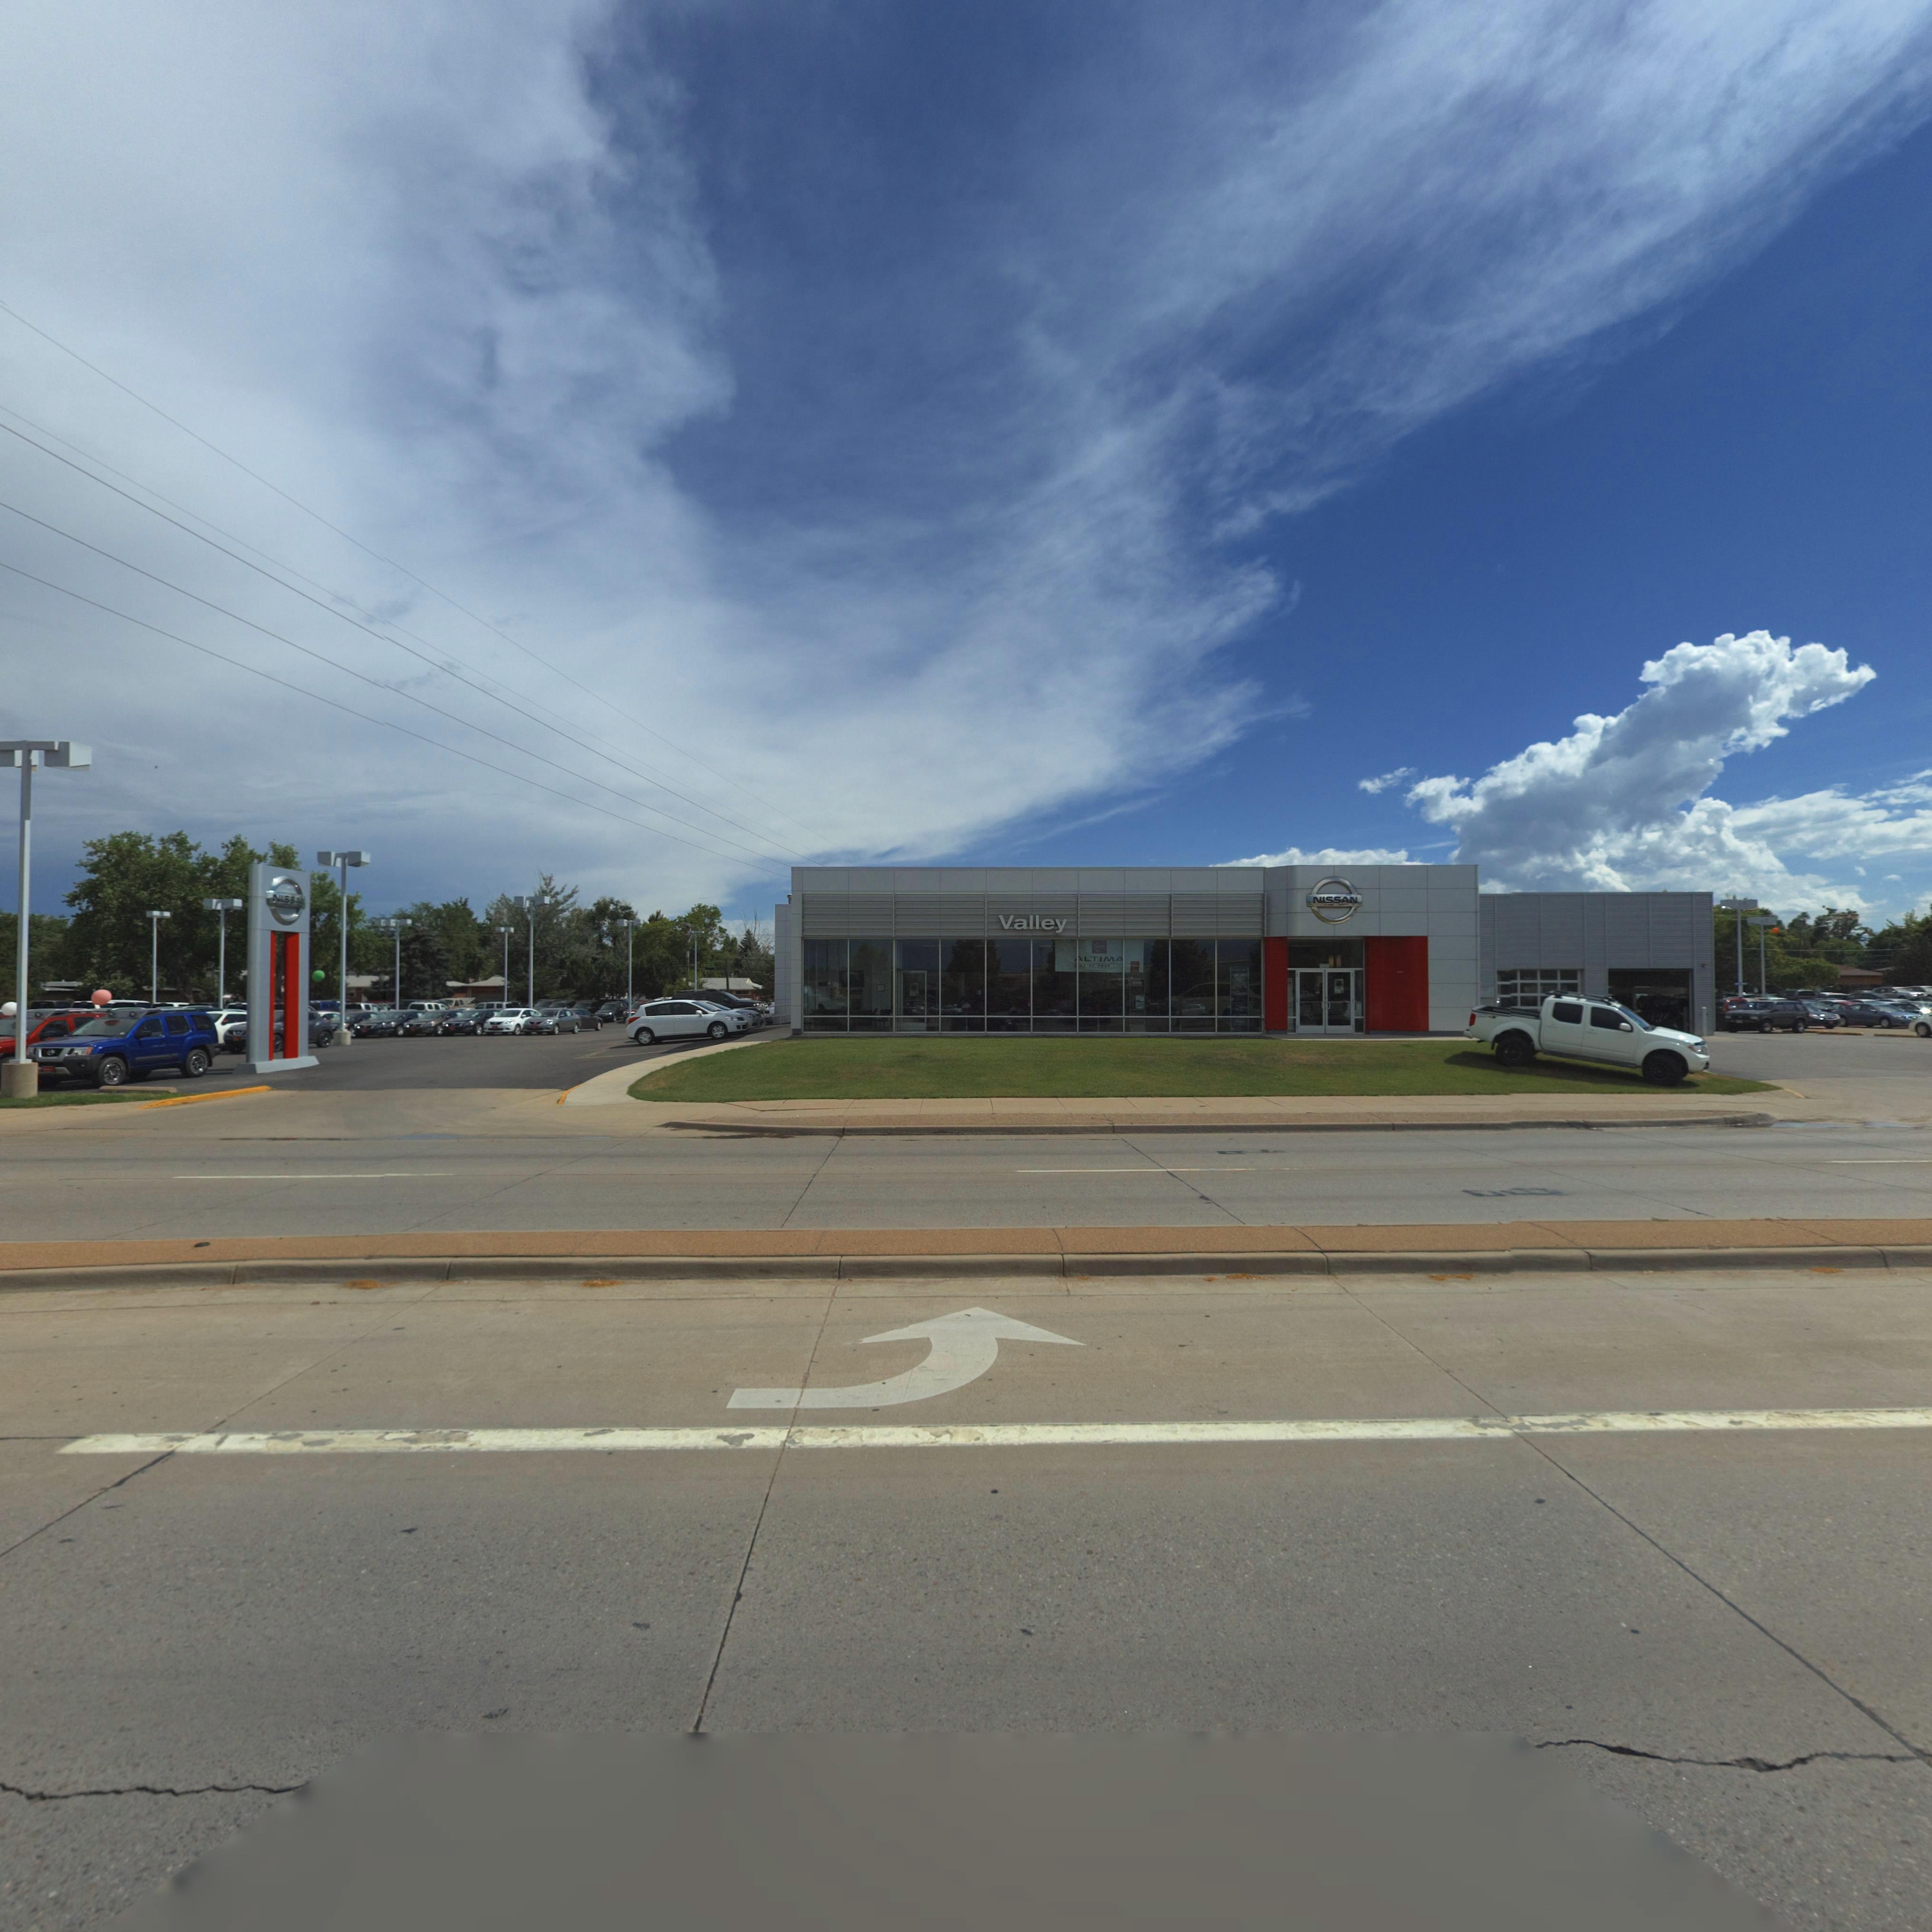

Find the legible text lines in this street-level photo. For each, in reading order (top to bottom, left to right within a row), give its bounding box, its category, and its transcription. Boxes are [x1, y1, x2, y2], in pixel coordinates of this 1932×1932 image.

[272, 893, 304, 906] BusinessName: NISSA*
[1313, 896, 1357, 904] BusinessName: NISSAN
[997, 914, 1068, 934] BusinessName: Valley
[1320, 963, 1329, 968] StreetNumber: 1005